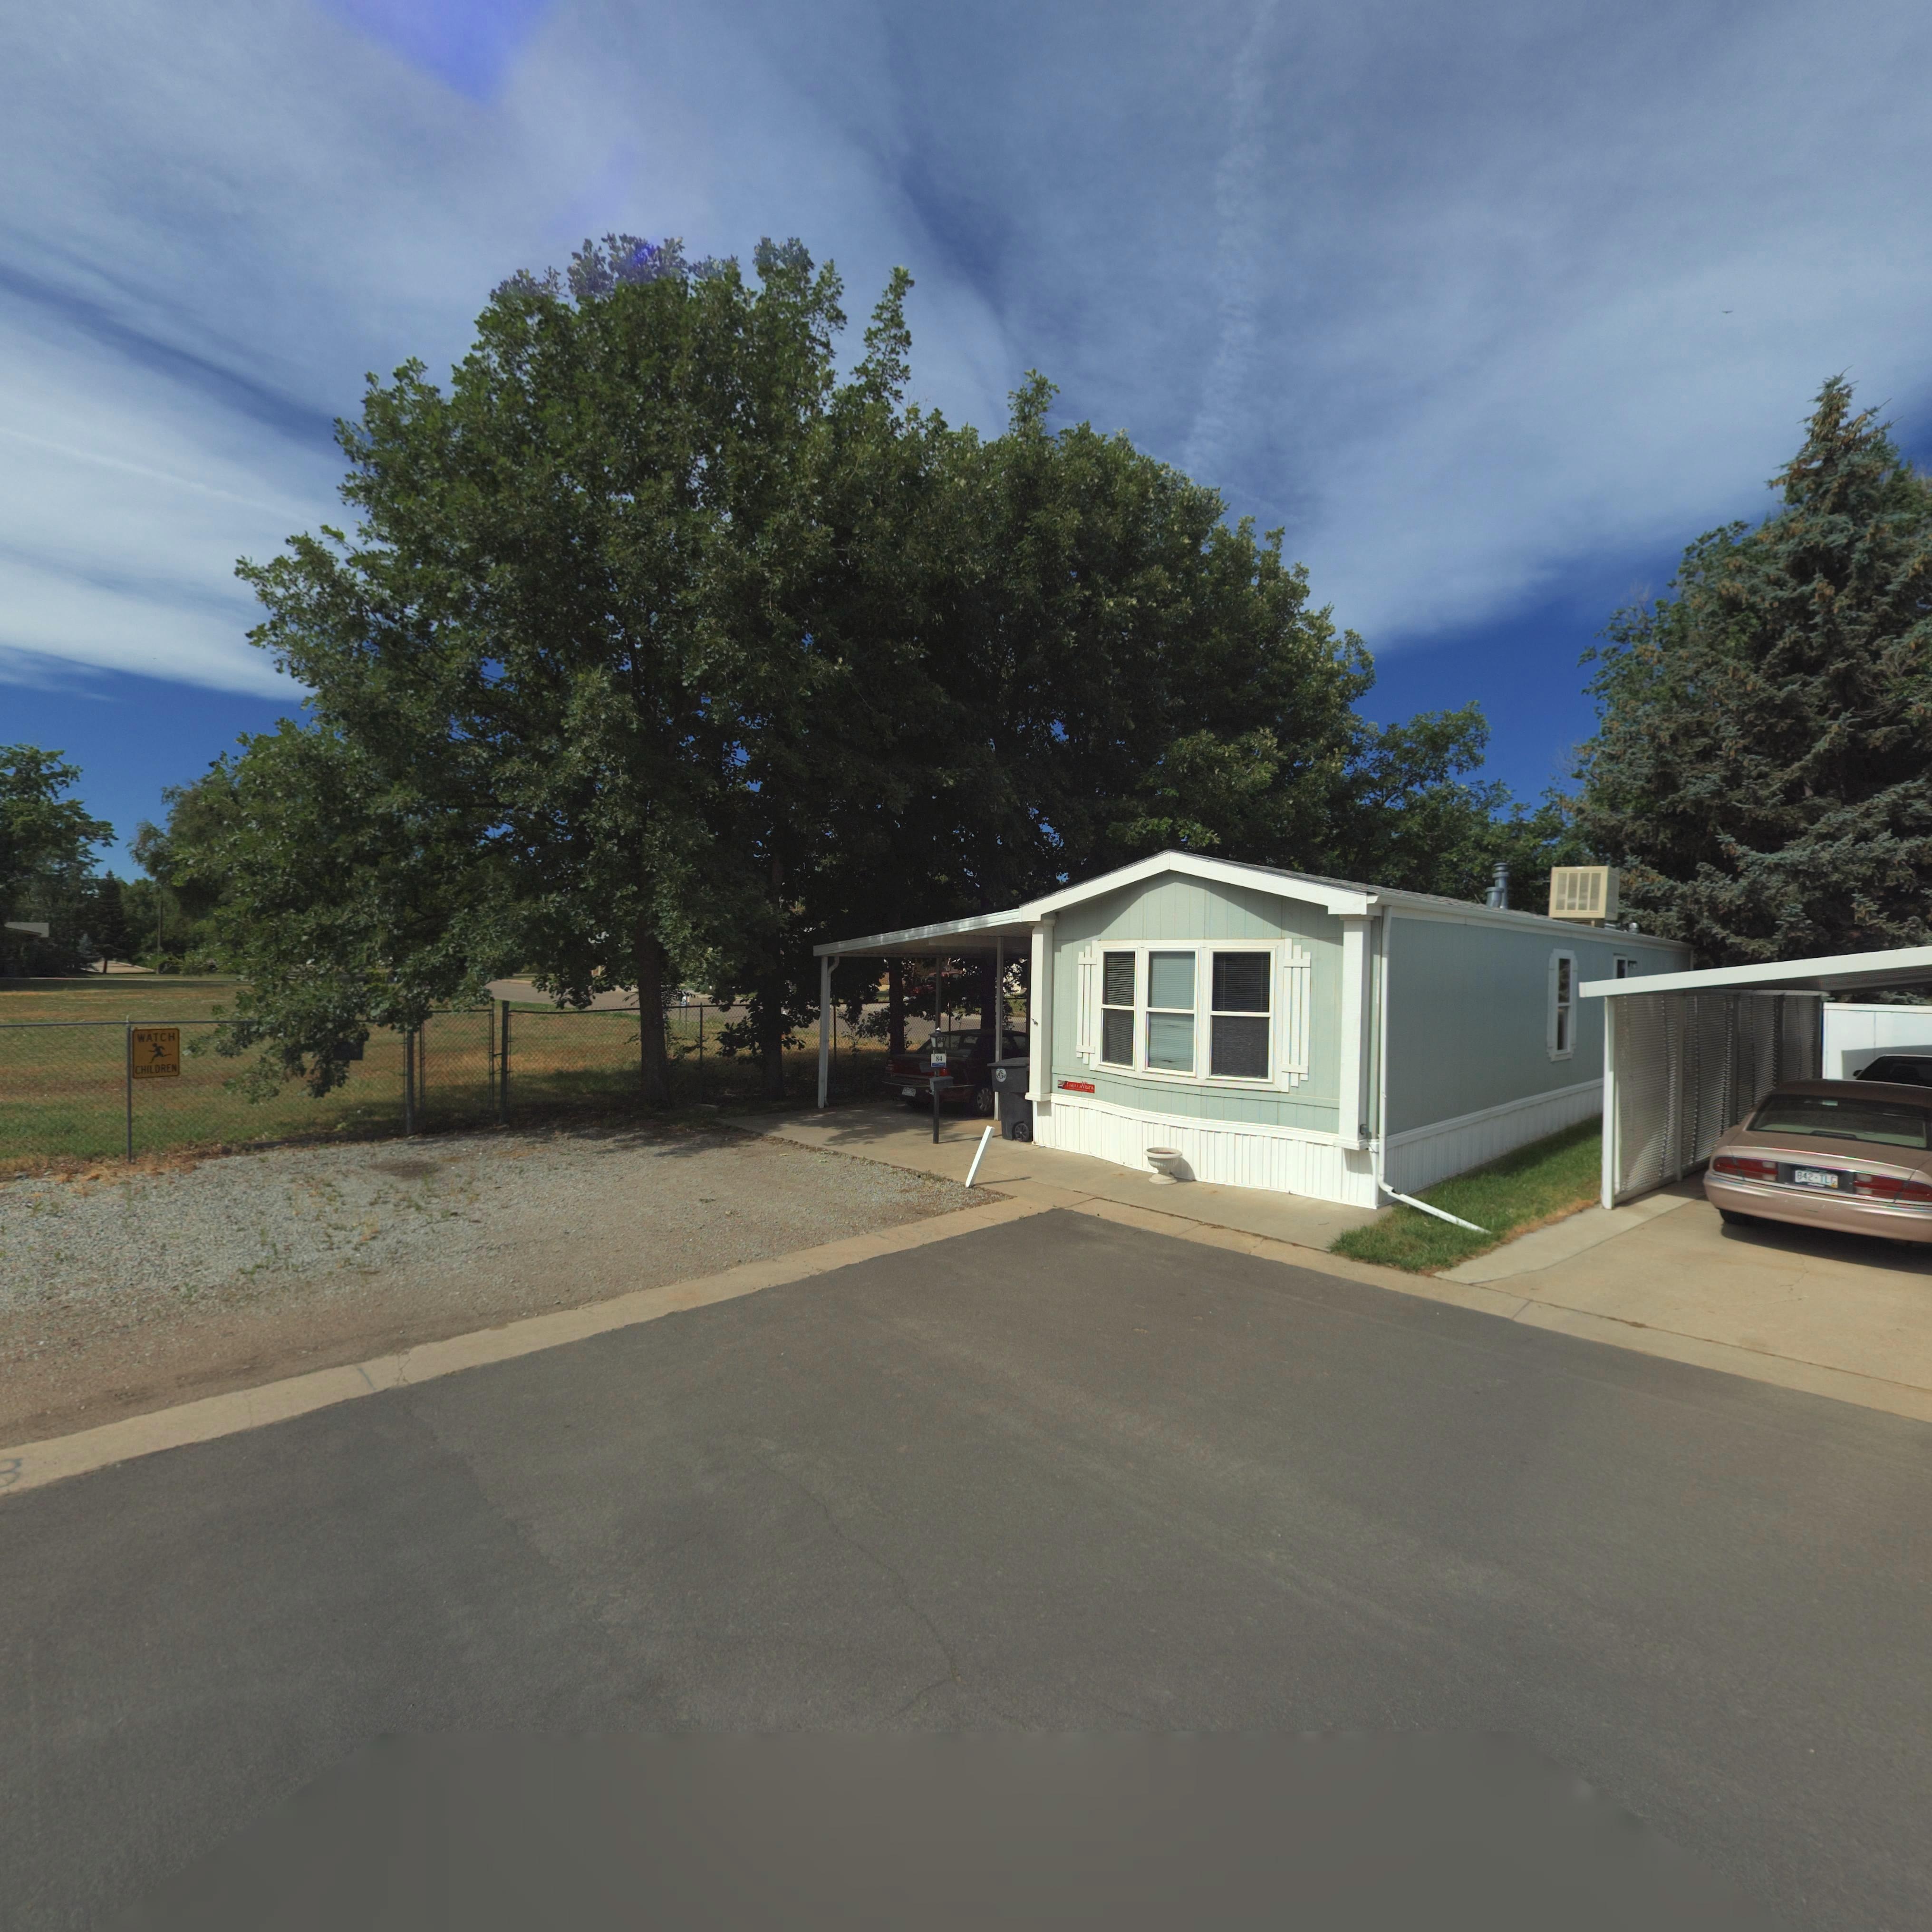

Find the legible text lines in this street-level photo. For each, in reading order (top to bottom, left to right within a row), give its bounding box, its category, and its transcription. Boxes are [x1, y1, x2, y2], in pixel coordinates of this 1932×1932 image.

[937, 1038, 944, 1043] StreetNumber: 84
[936, 1055, 942, 1062] StreetNumber: 84